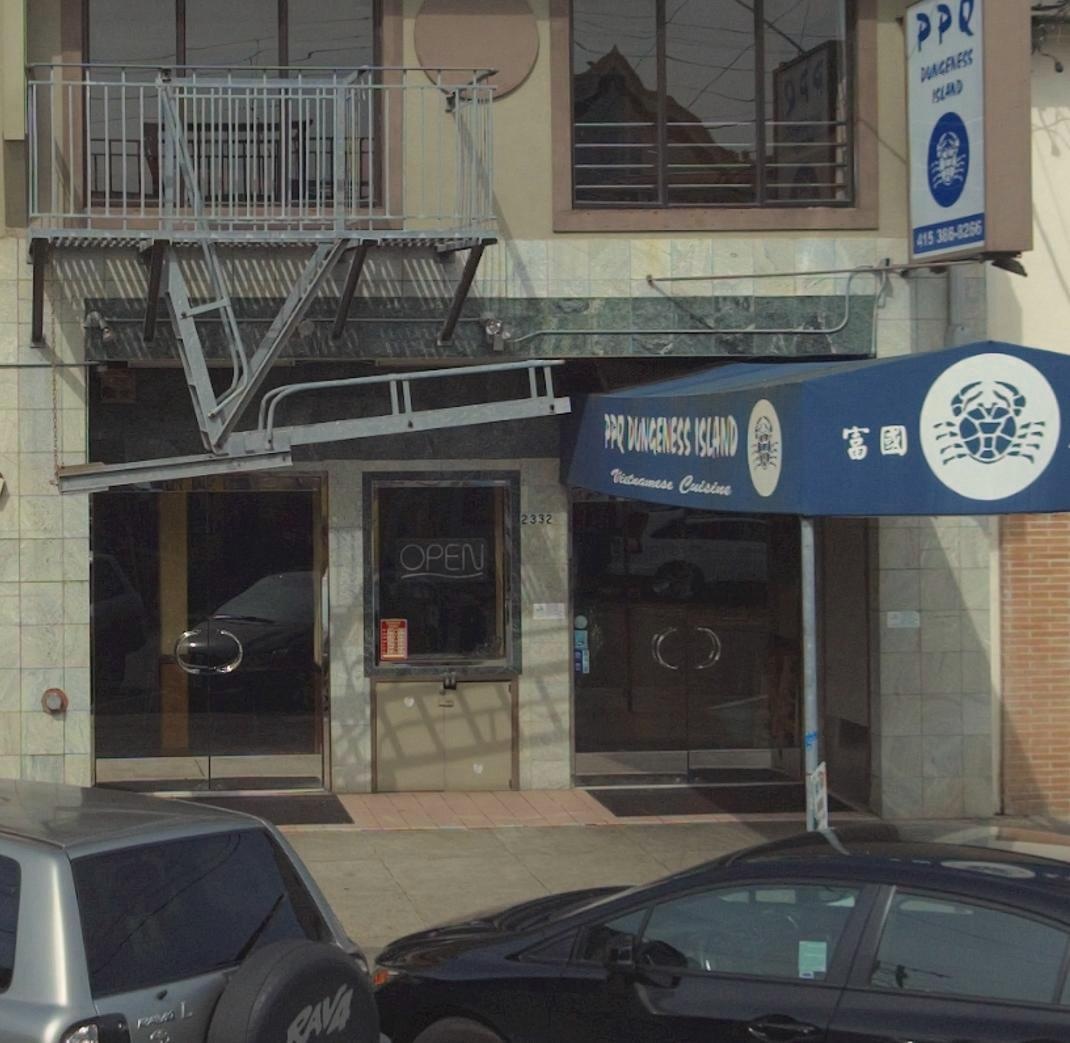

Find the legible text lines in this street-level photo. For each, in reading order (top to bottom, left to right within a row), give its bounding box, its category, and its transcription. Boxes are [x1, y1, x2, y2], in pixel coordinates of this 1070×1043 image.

[914, 1, 956, 55] BusinessName: PP
[914, 215, 985, 250] None: 415 386-8256
[601, 411, 743, 460] BusinessName: PP* DUNGENESS ISLAND
[676, 471, 696, 497] None: C
[519, 512, 554, 527] StreetNumber: 2332
[398, 541, 486, 573] None: OPEN
[179, 998, 195, 1021] None: L
[301, 980, 356, 1038] None: AV4